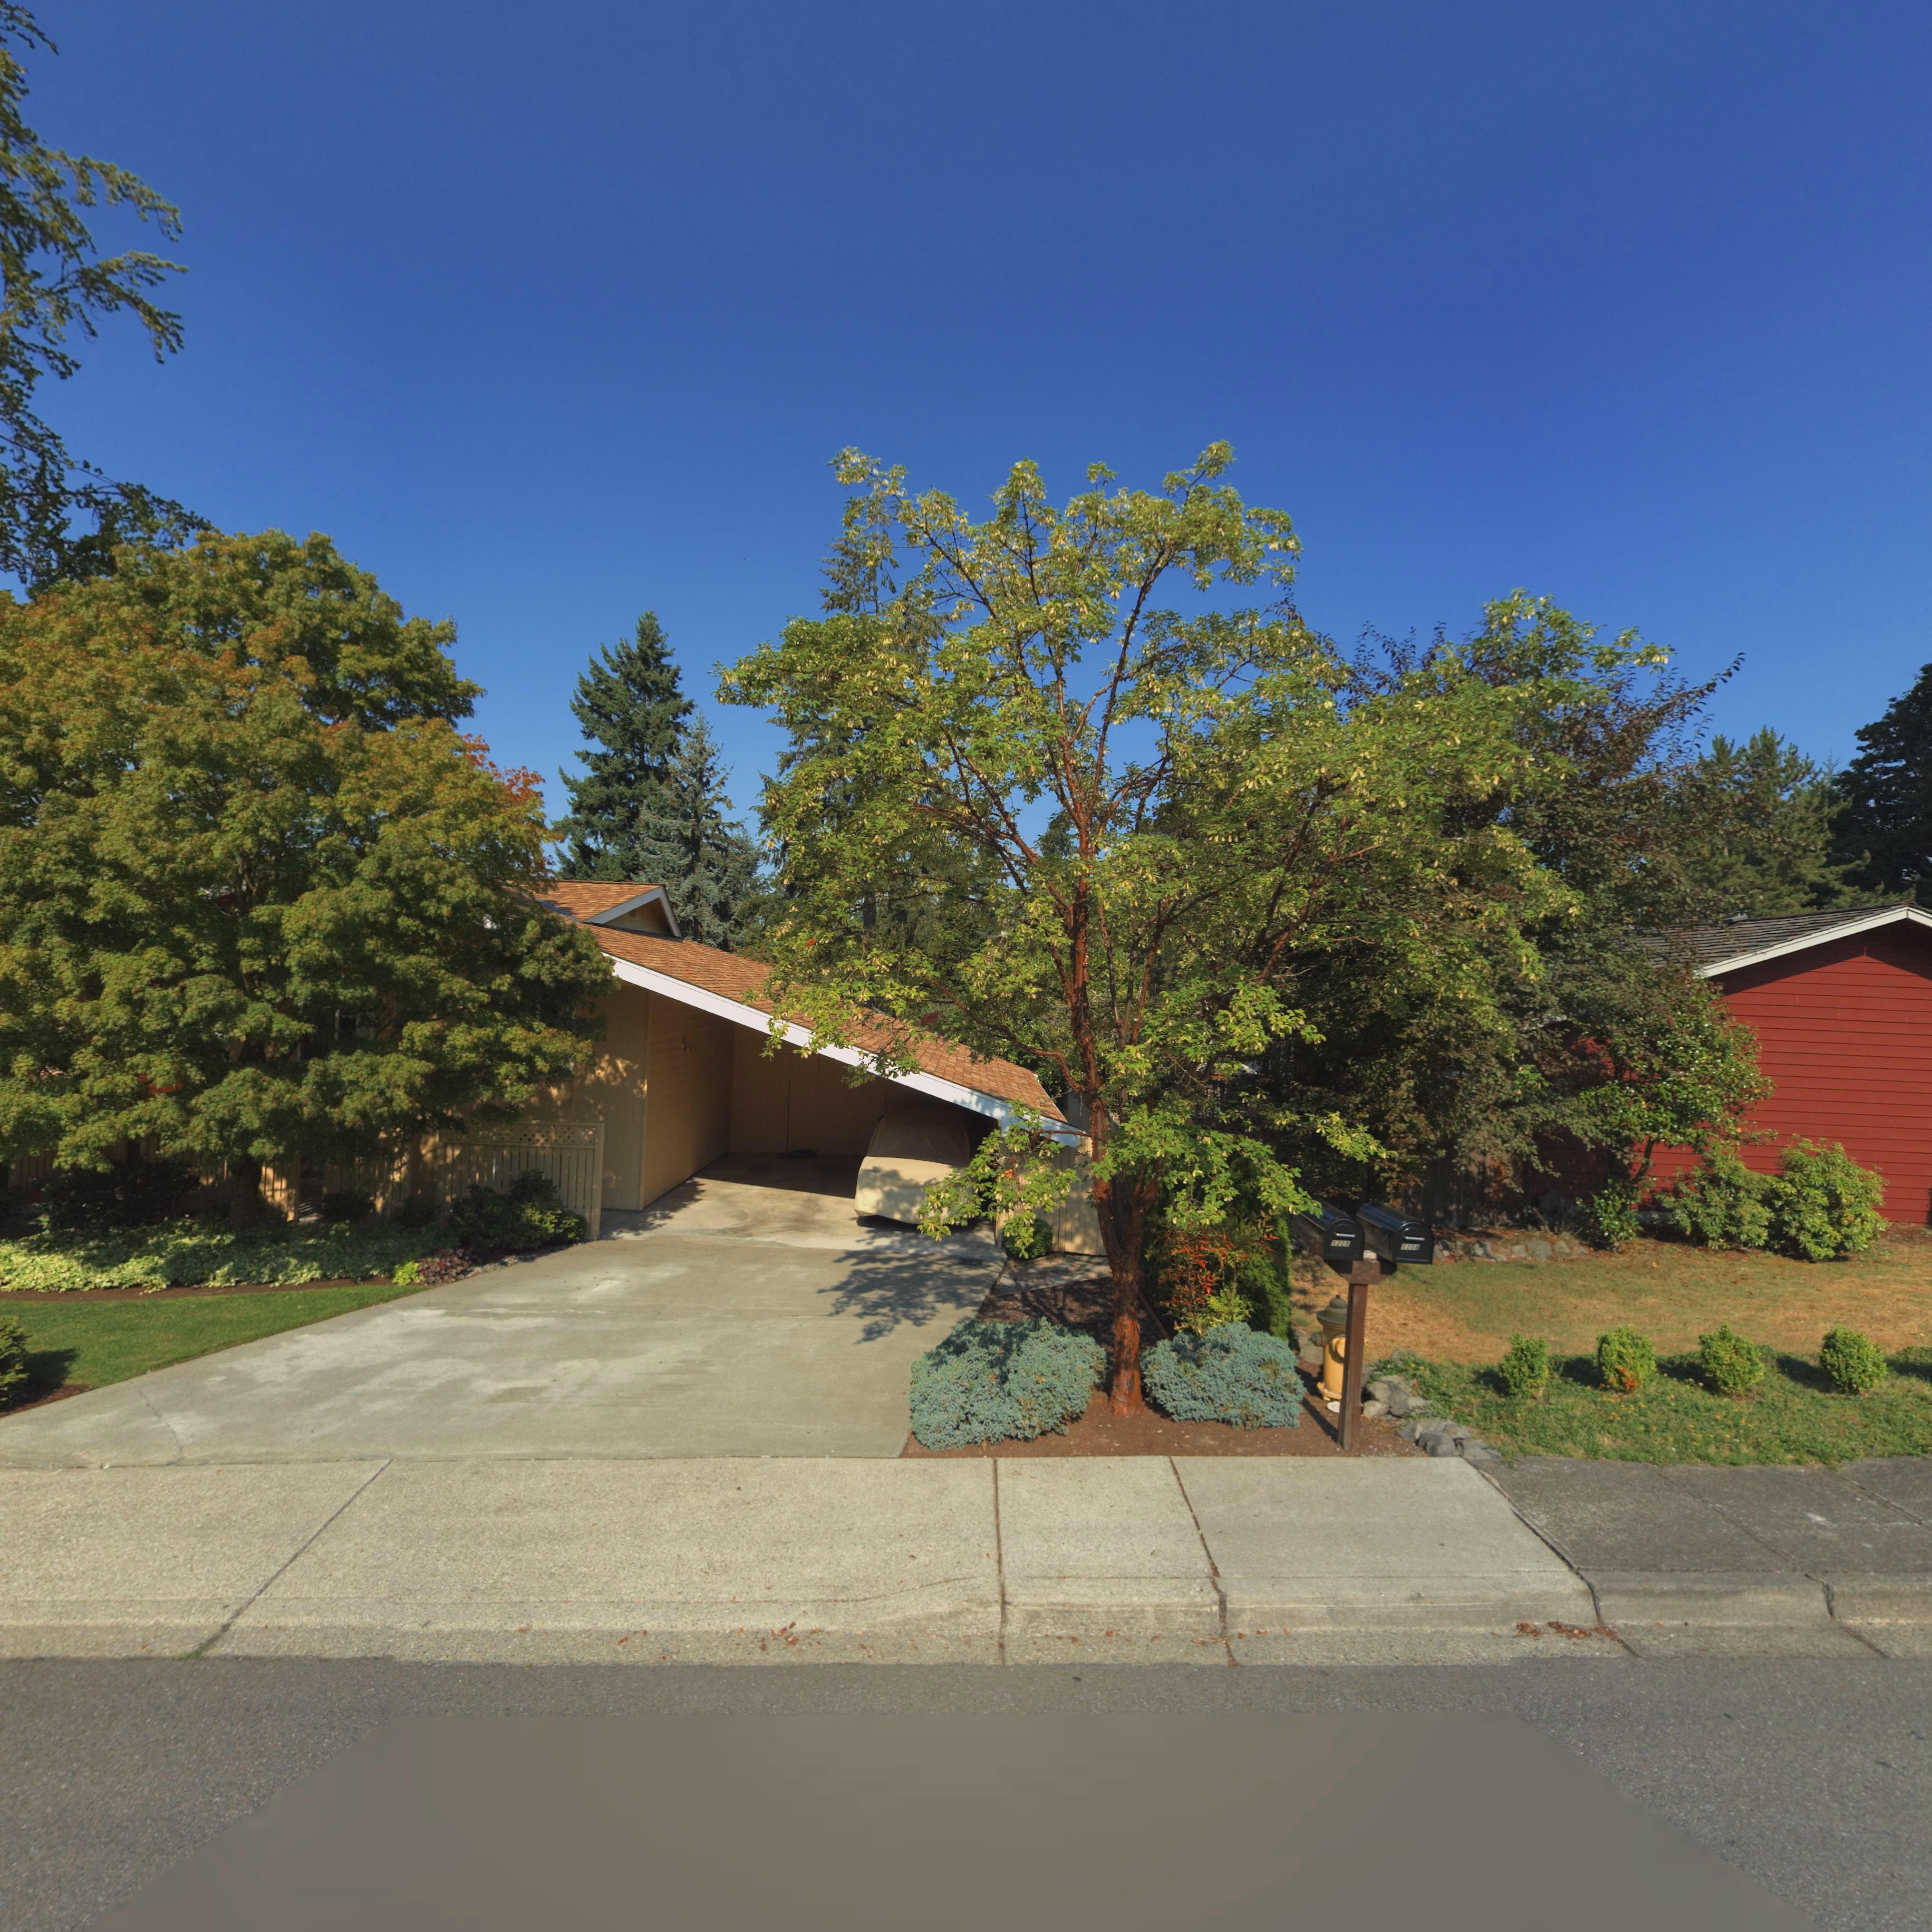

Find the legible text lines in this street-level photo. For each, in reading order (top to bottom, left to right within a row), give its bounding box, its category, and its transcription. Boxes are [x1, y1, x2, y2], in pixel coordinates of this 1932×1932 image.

[1331, 1240, 1350, 1246] StreetNumber: 1205
[1400, 1242, 1421, 1251] StreetNumber: 1204